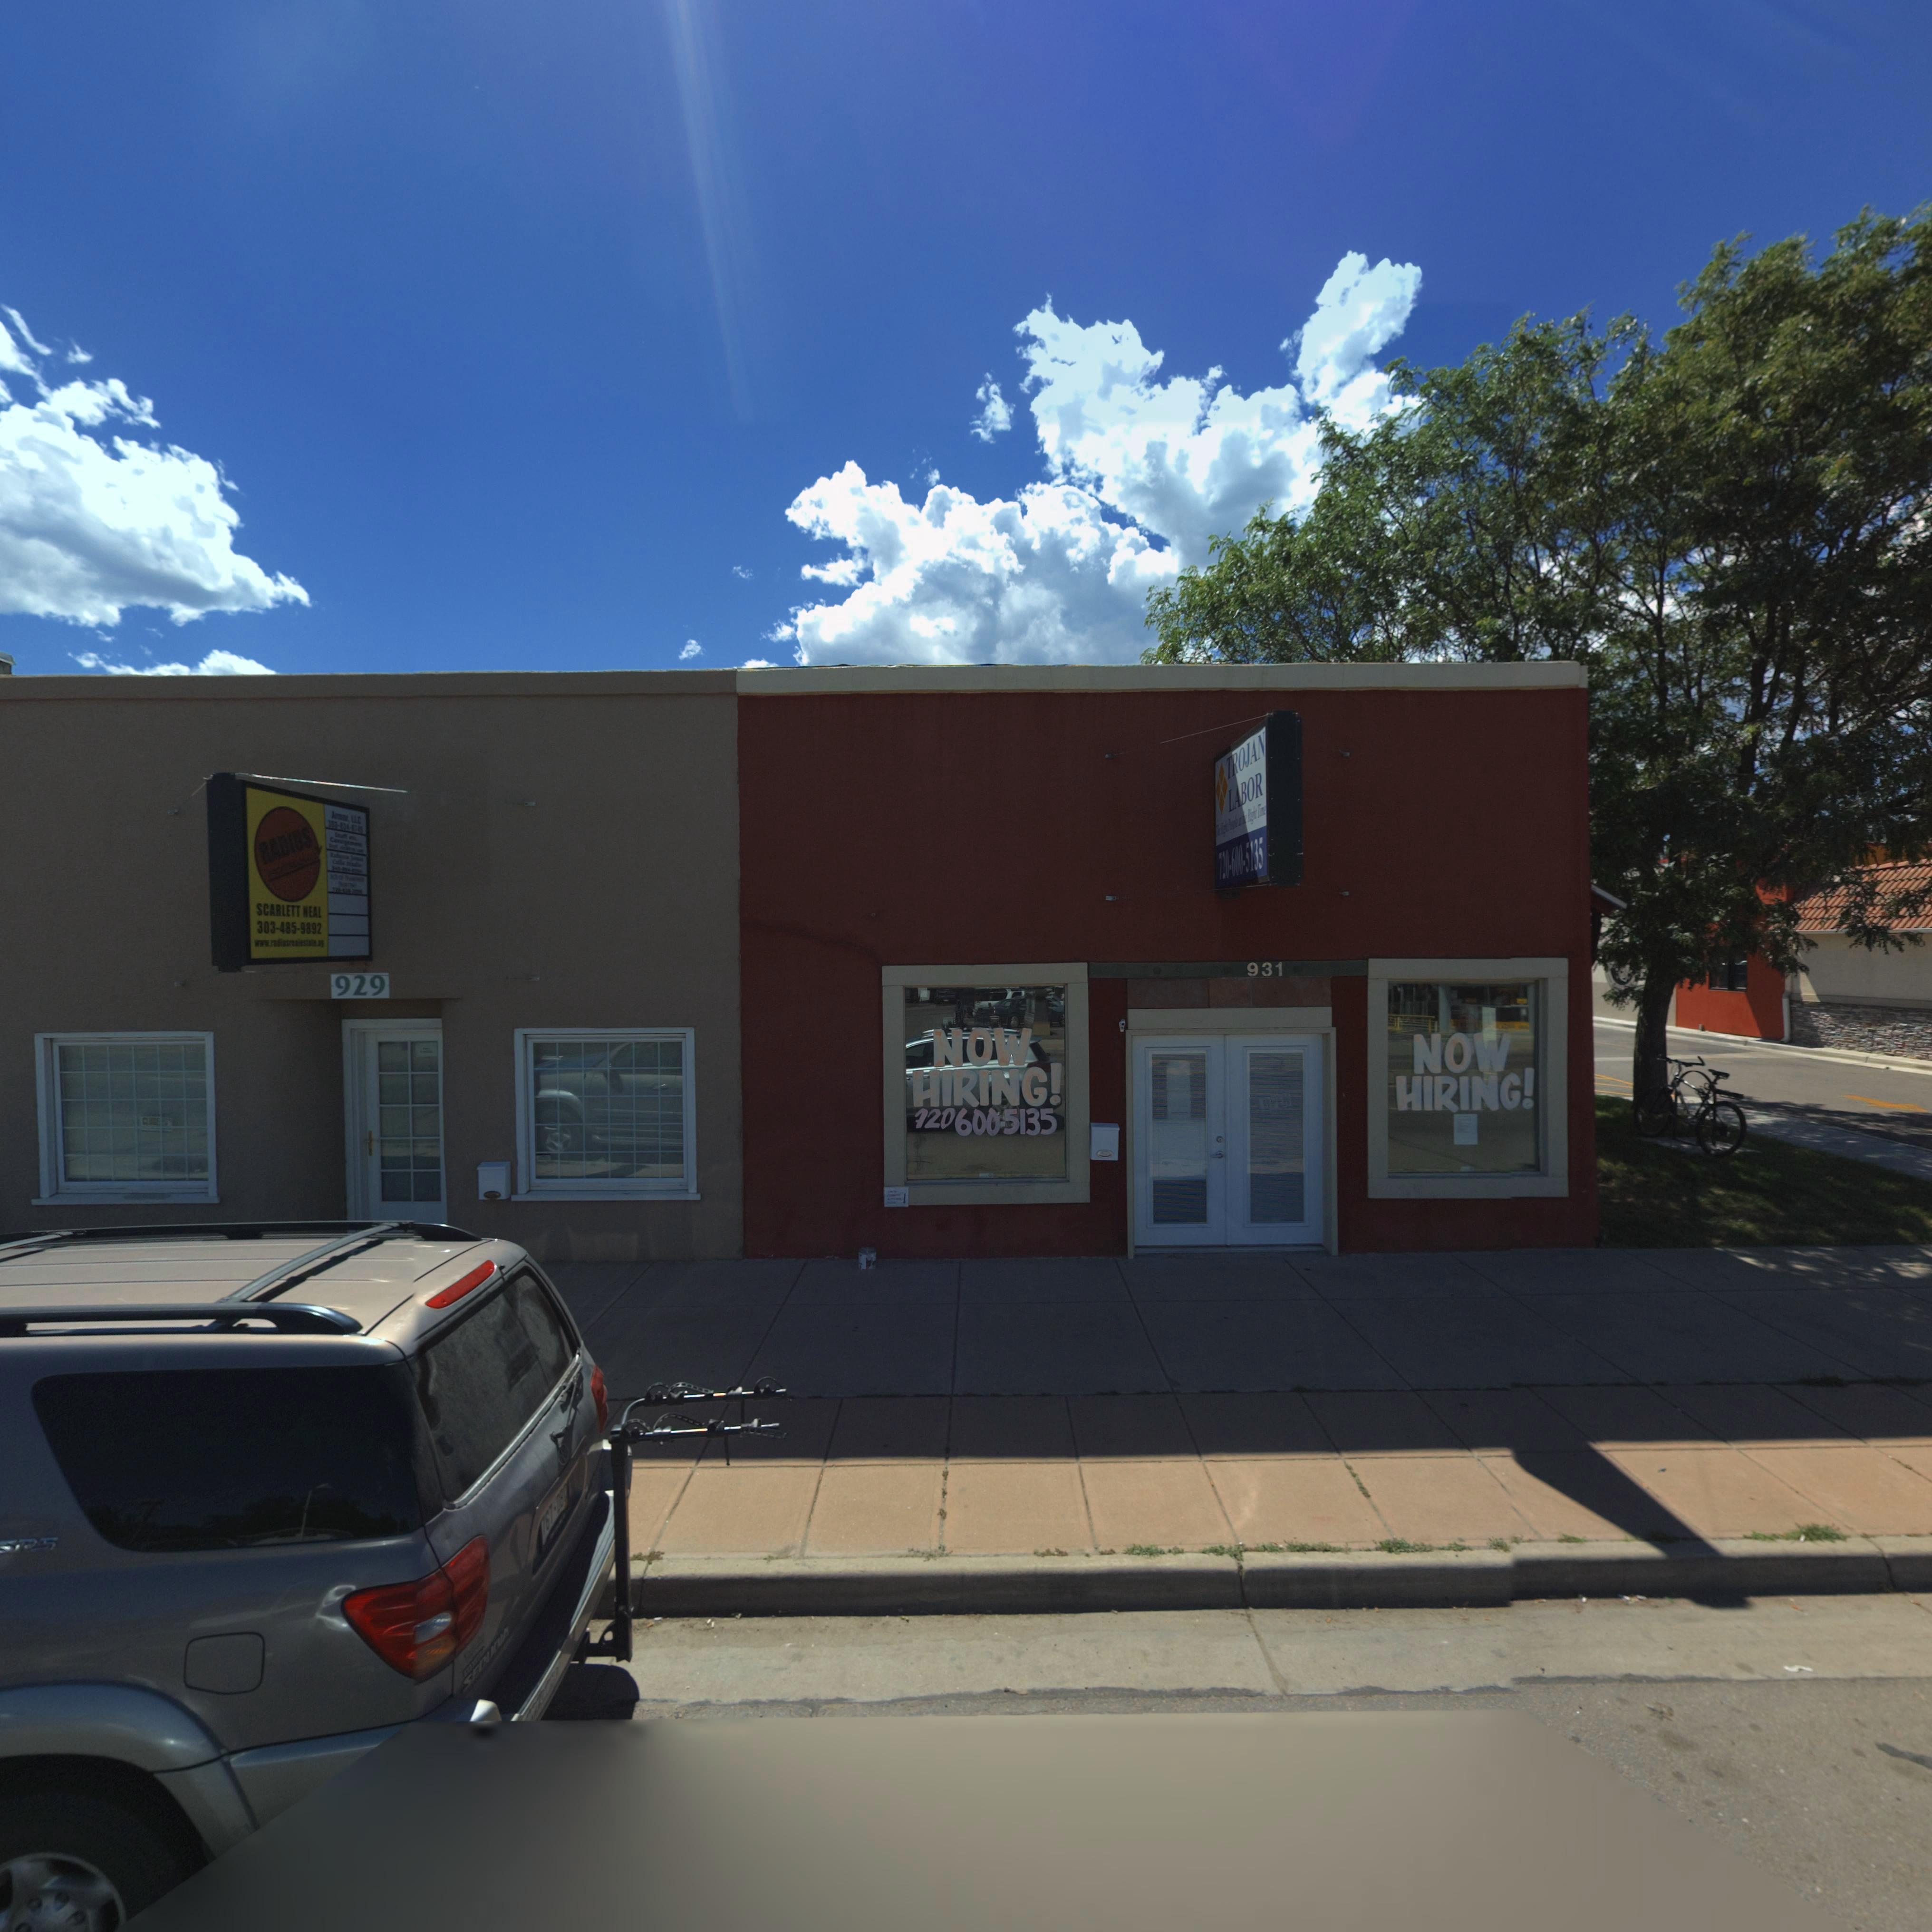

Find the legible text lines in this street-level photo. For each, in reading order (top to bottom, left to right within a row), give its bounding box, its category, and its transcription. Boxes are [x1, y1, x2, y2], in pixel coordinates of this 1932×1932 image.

[1226, 730, 1265, 780] BusinessName: TROJAN
[1228, 773, 1263, 813] BusinessName: LABOR
[331, 811, 362, 825] BusinessName: A****, LLC
[258, 825, 313, 866] BusinessName: RADIUS
[329, 836, 363, 846] BusinessName: C****g****t
[332, 858, 362, 868] BusinessName: C*ll* S*****
[1246, 962, 1282, 976] StreetNumber: 931
[335, 975, 386, 996] StreetNumber: 929